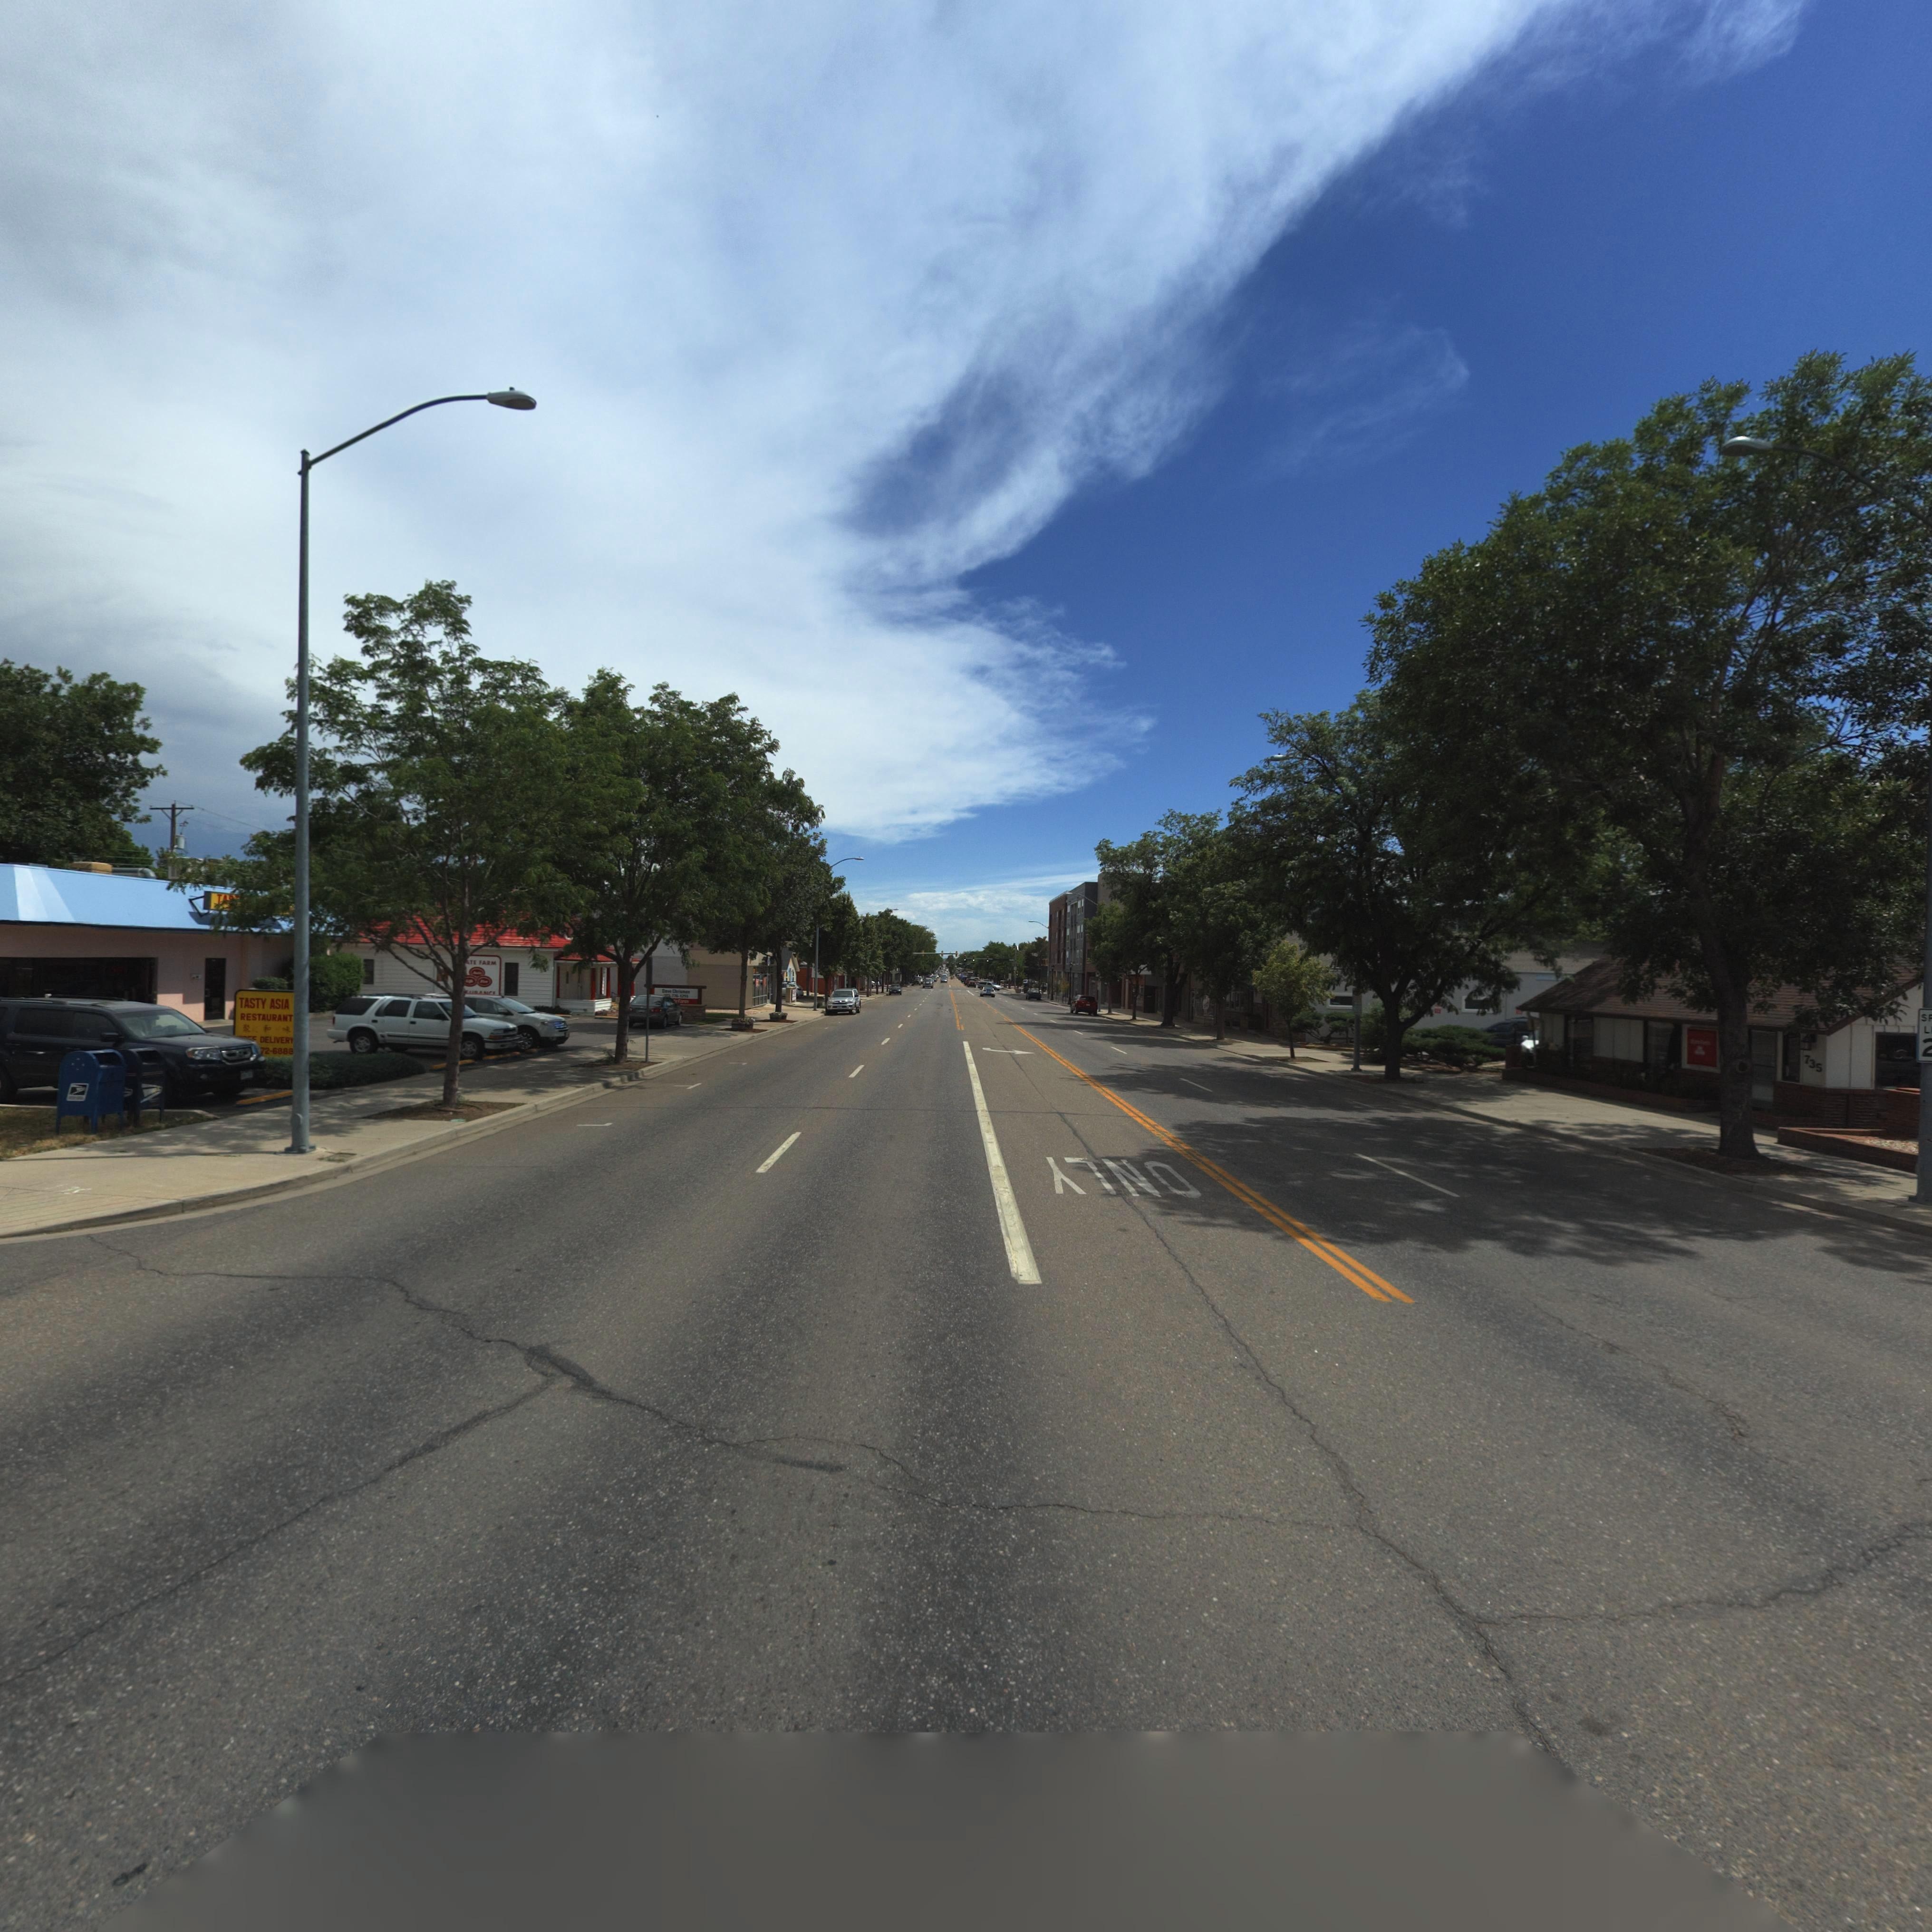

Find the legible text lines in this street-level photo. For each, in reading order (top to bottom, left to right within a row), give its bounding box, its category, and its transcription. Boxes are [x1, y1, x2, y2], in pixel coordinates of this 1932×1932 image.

[216, 893, 227, 905] BusinessName: *T*
[470, 959, 496, 966] BusinessName: TE FARM
[238, 996, 289, 1010] BusinessName: TASTY ASIA
[677, 999, 689, 1003] BusinessName: Farm
[239, 1012, 293, 1022] BusinessName: RESTAURANT
[1804, 1054, 1822, 1072] StreetNumber: 735